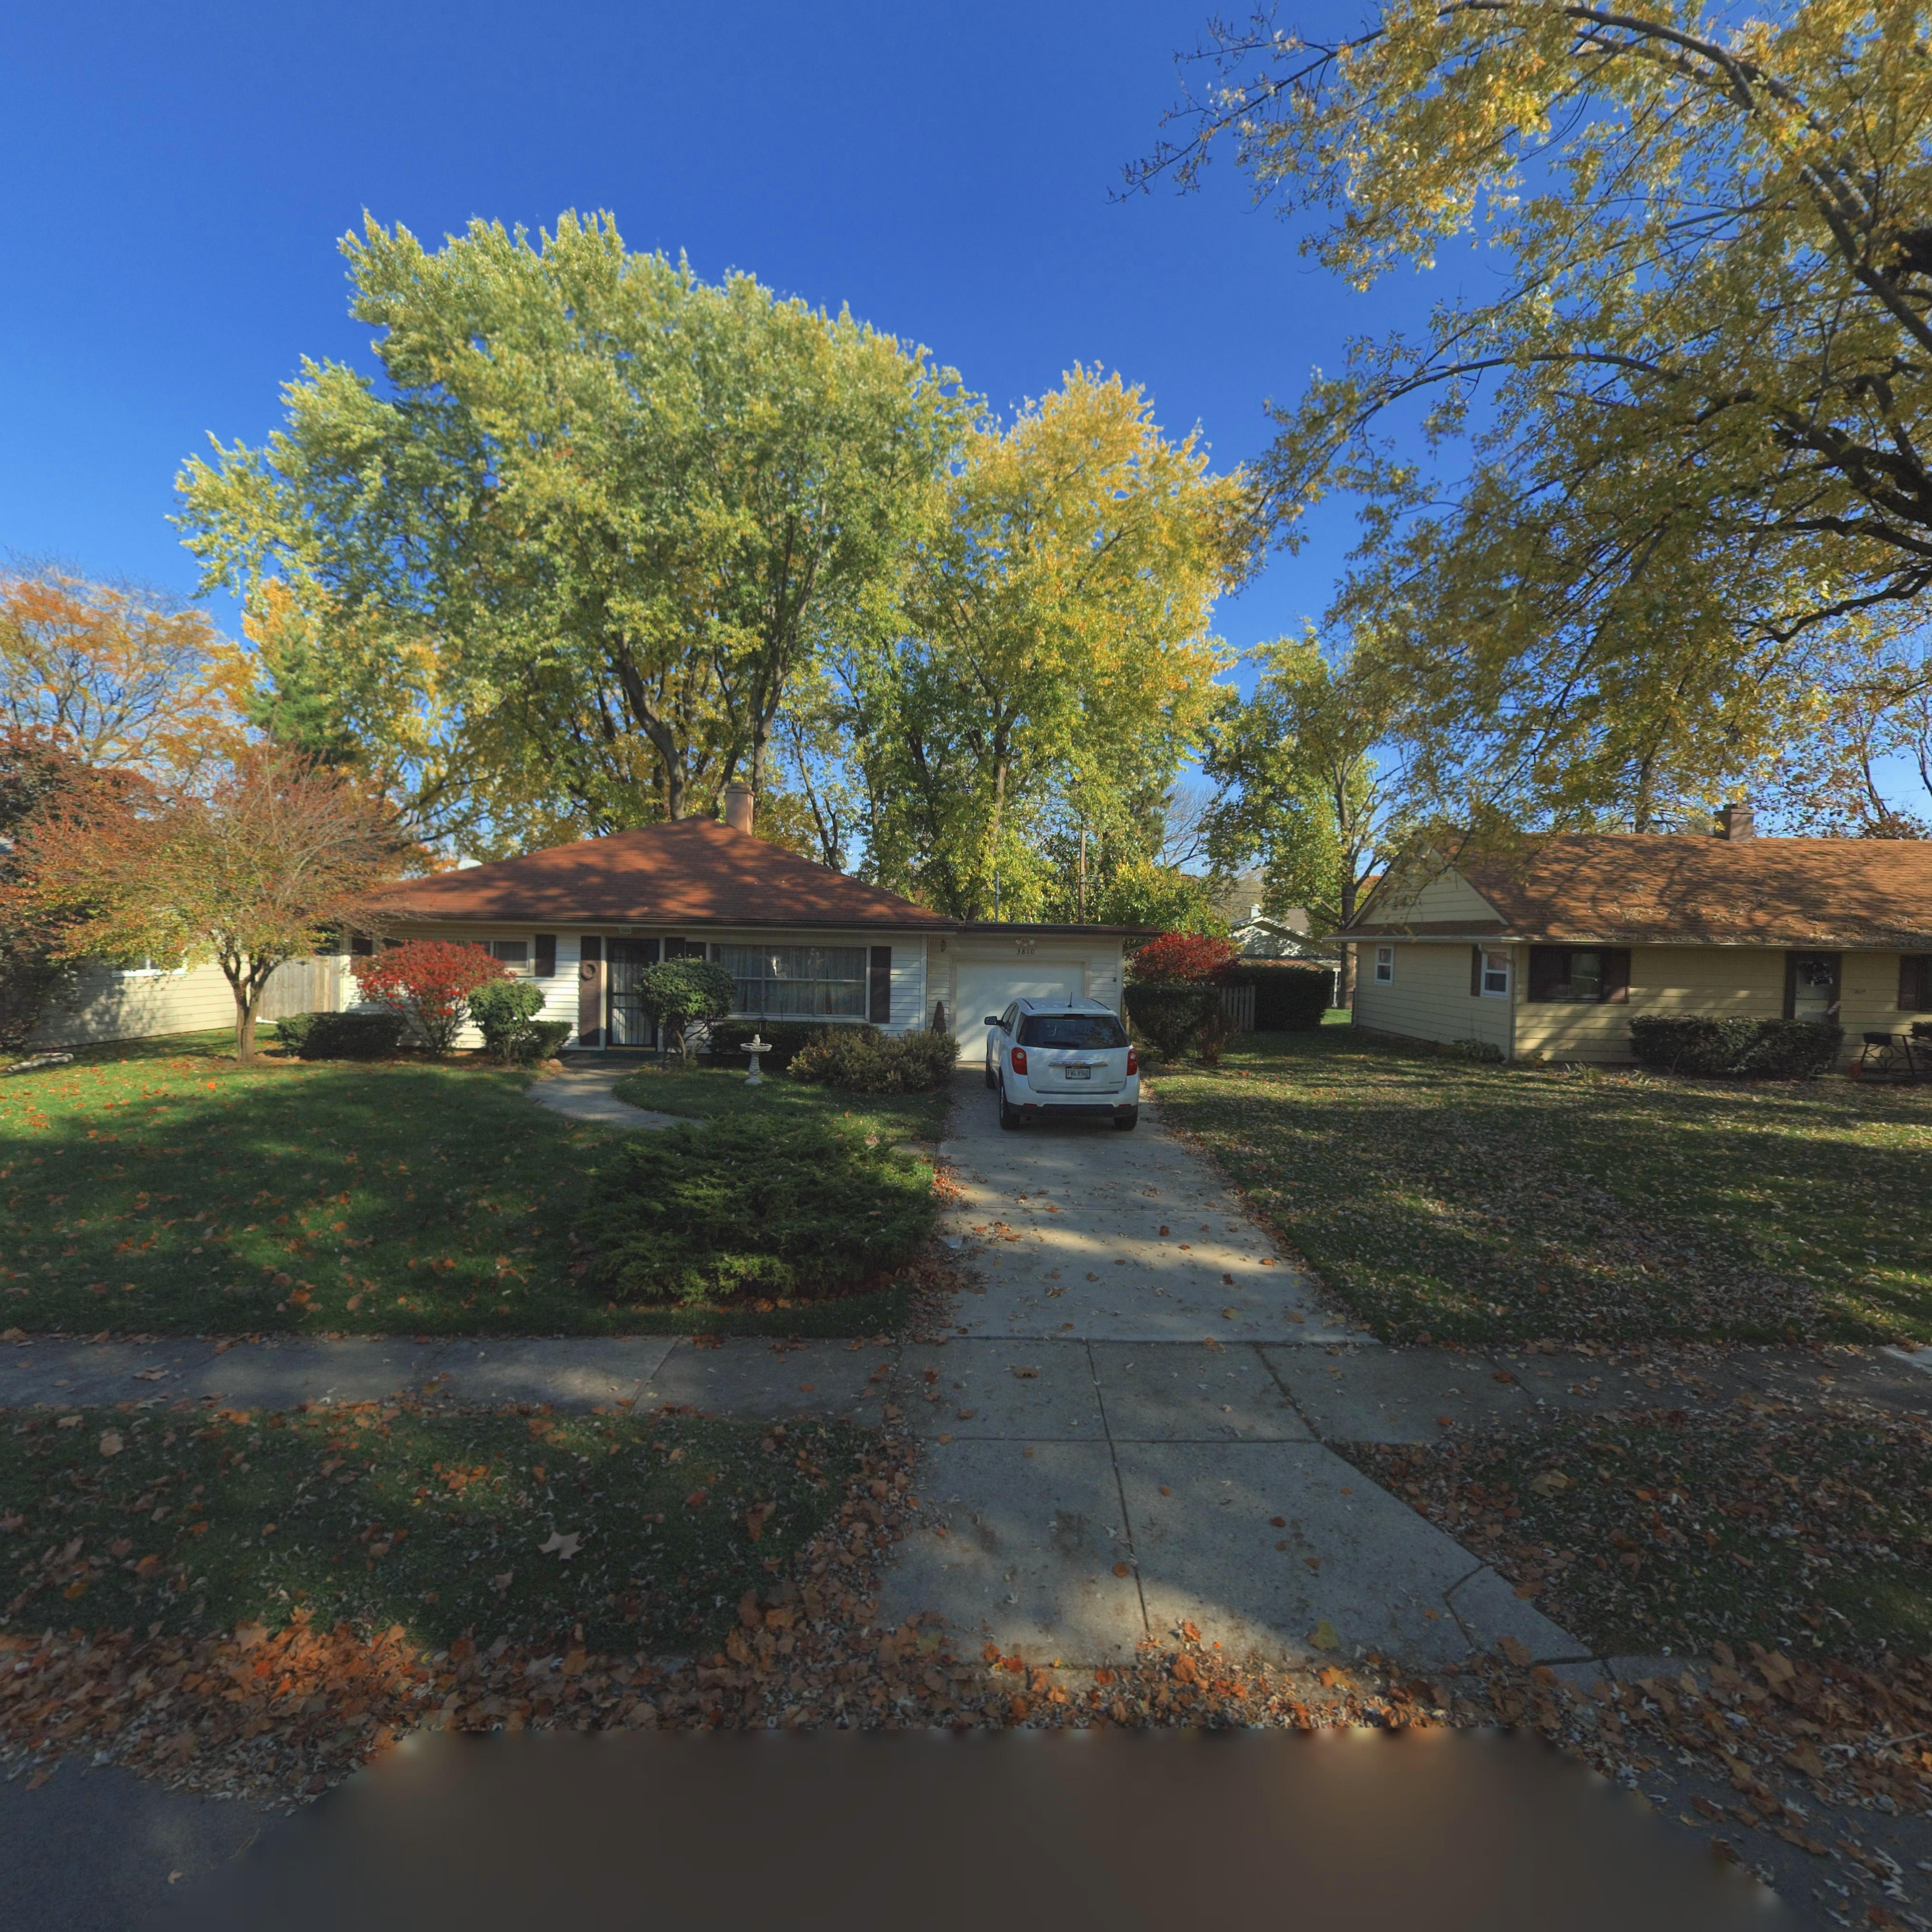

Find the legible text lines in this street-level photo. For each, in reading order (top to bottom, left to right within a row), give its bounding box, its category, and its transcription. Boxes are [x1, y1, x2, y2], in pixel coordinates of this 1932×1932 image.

[1016, 947, 1034, 954] StreetNumber: 3810
[1067, 1069, 1089, 1076] None: FWG 8960